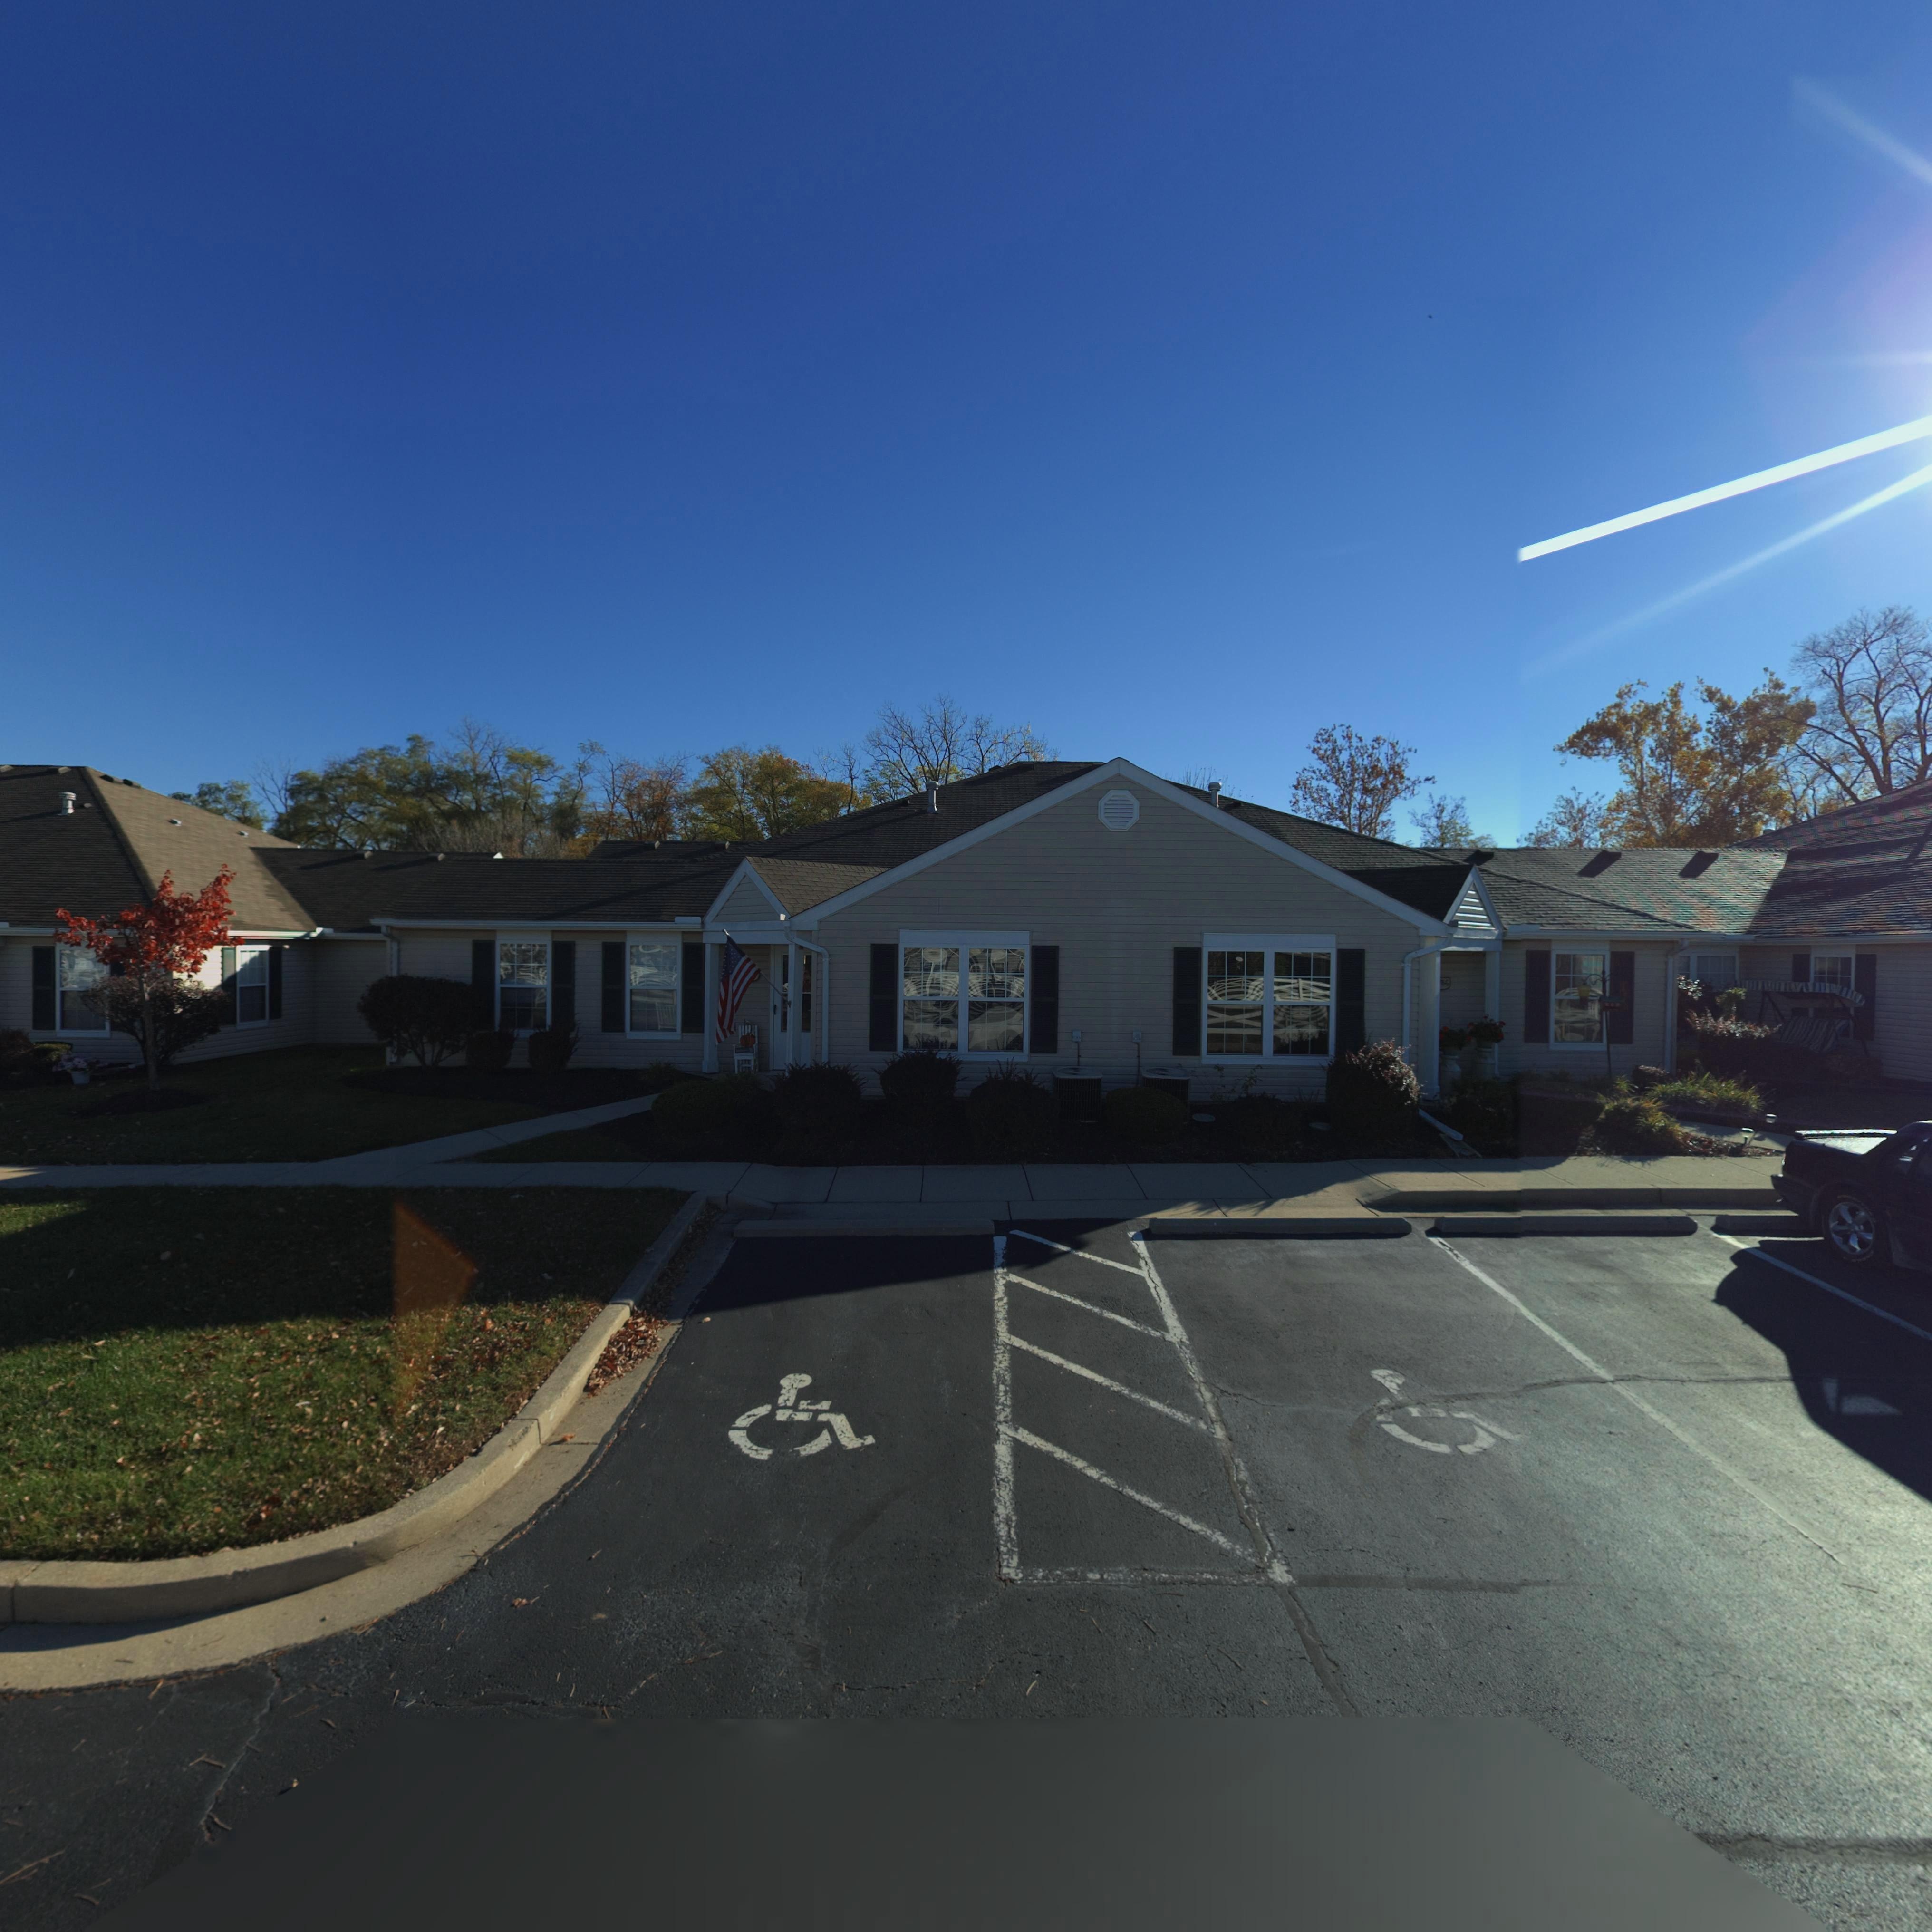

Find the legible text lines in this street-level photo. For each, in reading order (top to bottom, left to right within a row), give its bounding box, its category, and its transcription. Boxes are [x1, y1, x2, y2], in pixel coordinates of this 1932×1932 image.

[1441, 978, 1449, 985] StreetNumber: 8-G